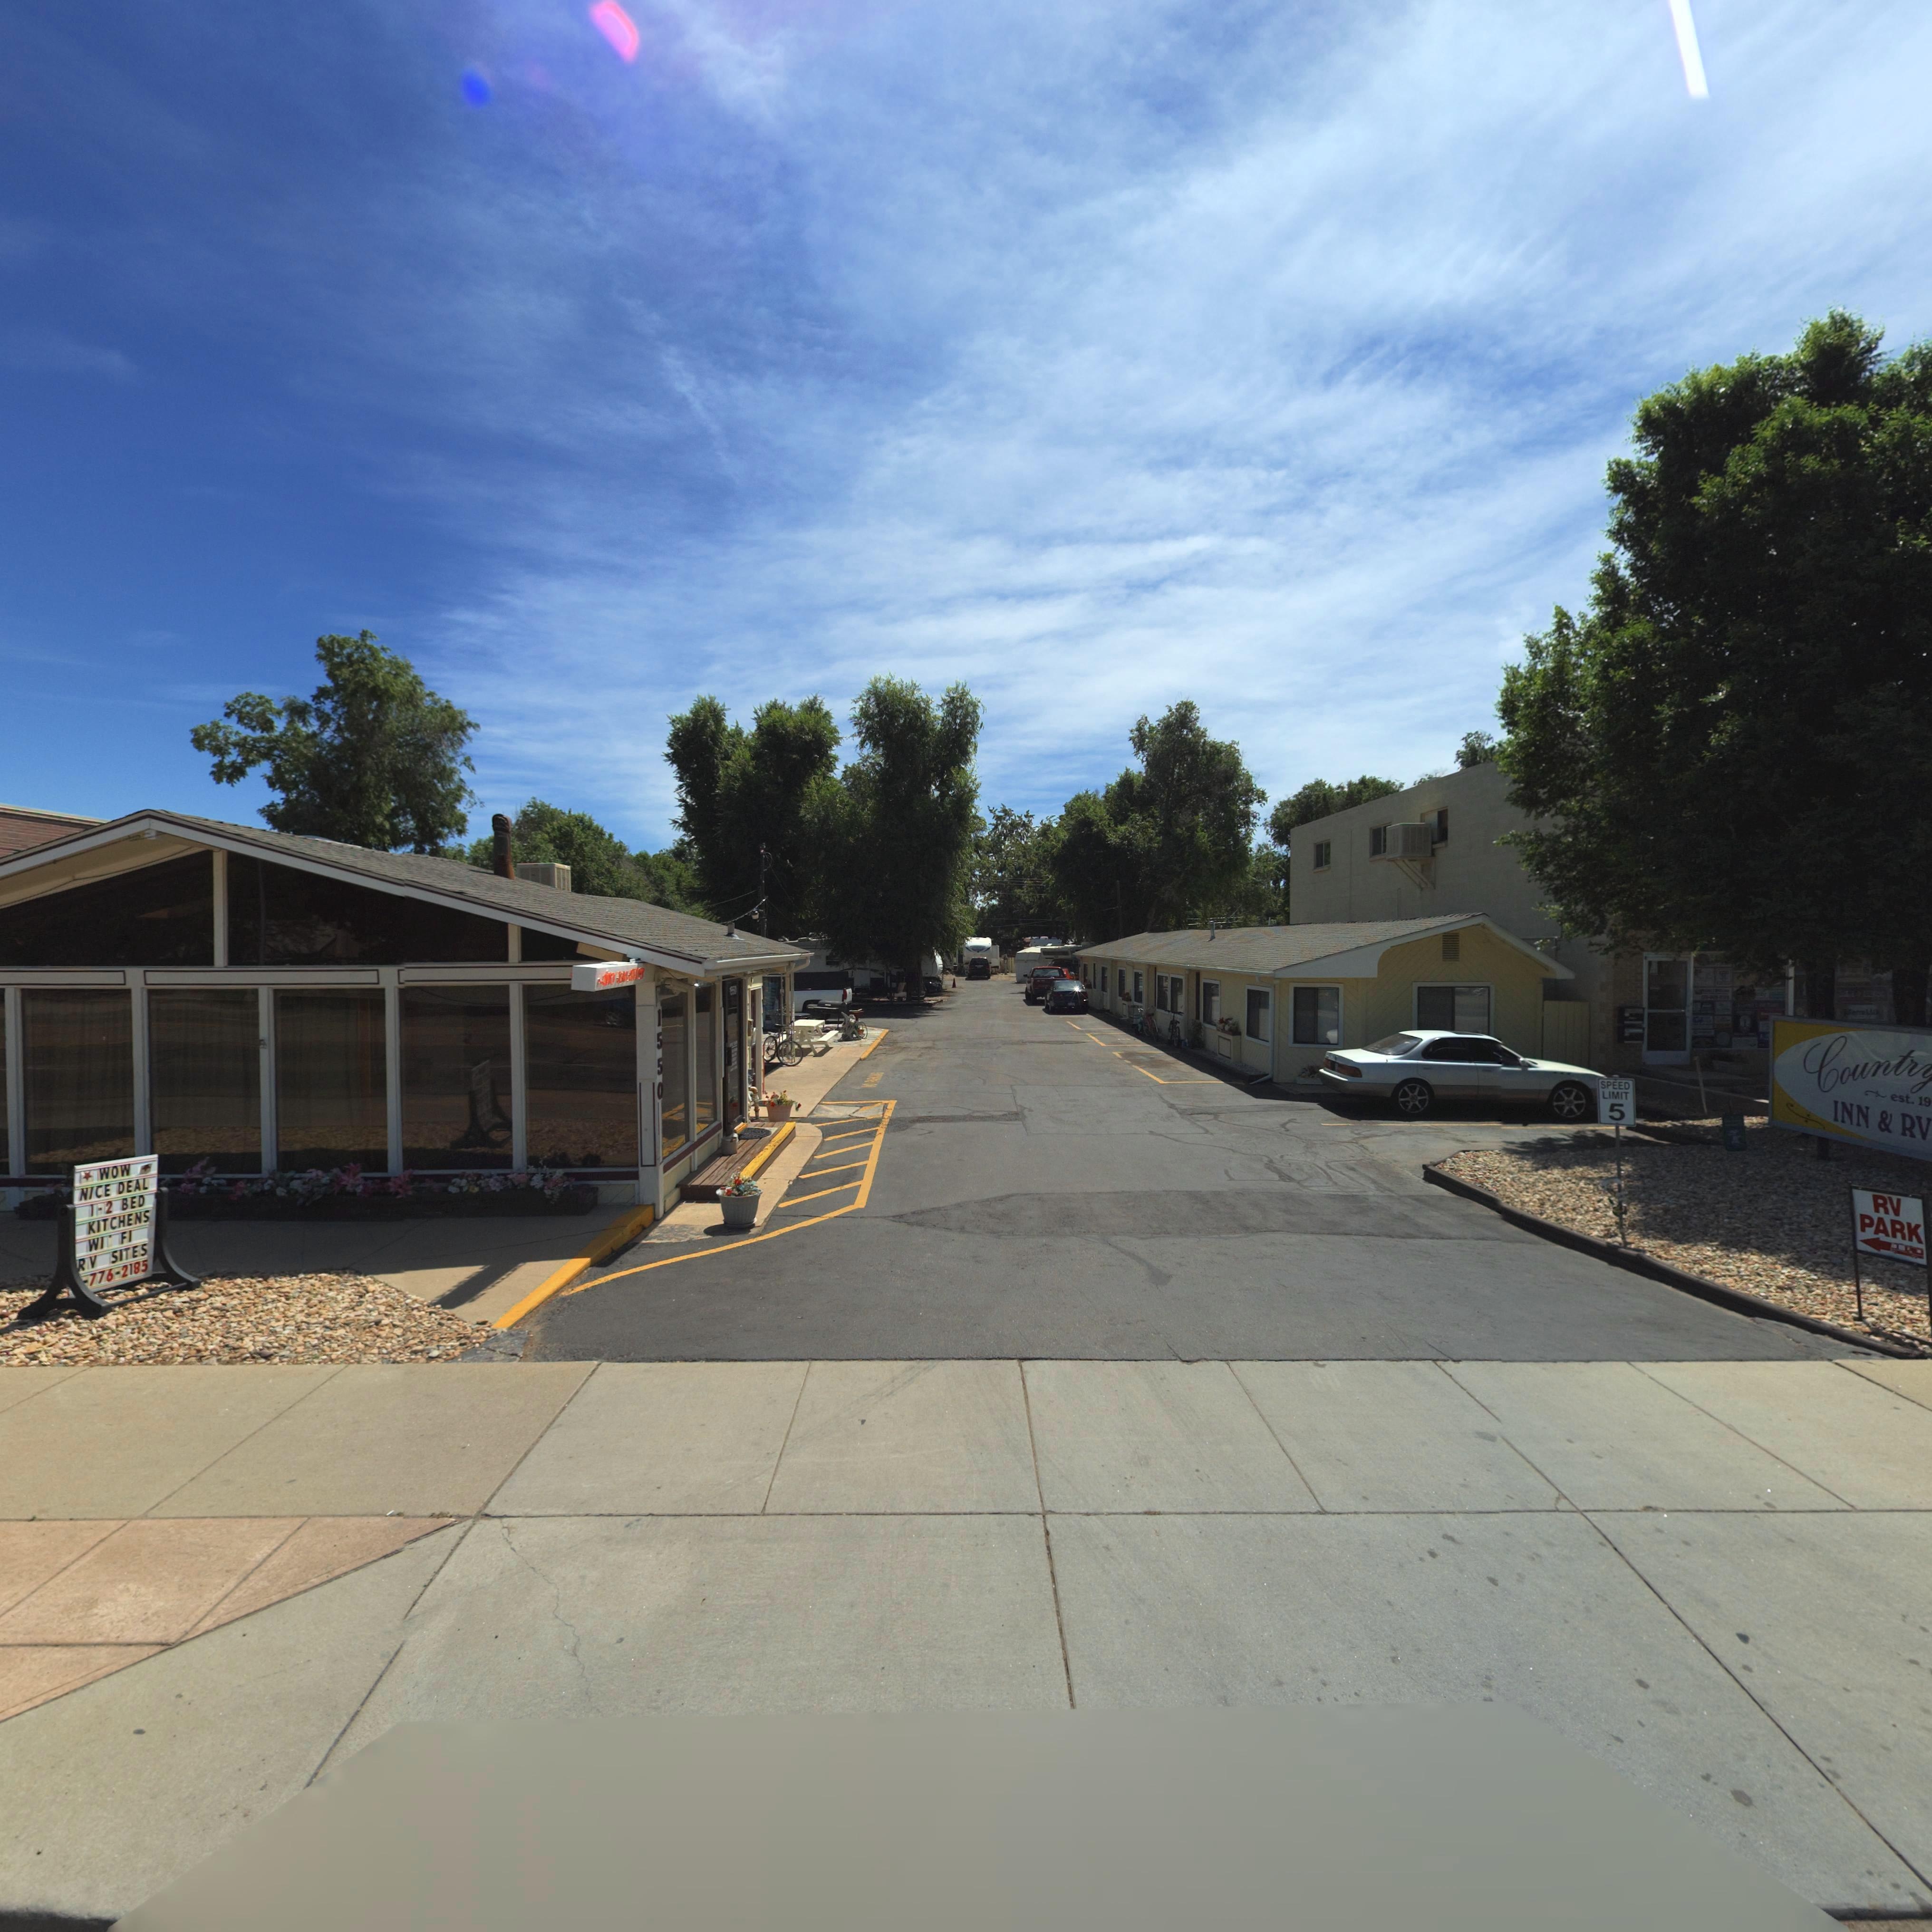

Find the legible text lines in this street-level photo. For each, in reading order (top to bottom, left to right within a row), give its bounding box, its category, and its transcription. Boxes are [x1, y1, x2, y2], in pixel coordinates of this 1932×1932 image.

[728, 985, 737, 995] StreetNumber: 155*
[656, 1007, 664, 1101] StreetNumber: 1550
[1816, 1034, 1920, 1093] BusinessName: Countr
[1833, 1100, 1932, 1142] BusinessName: INN & RV